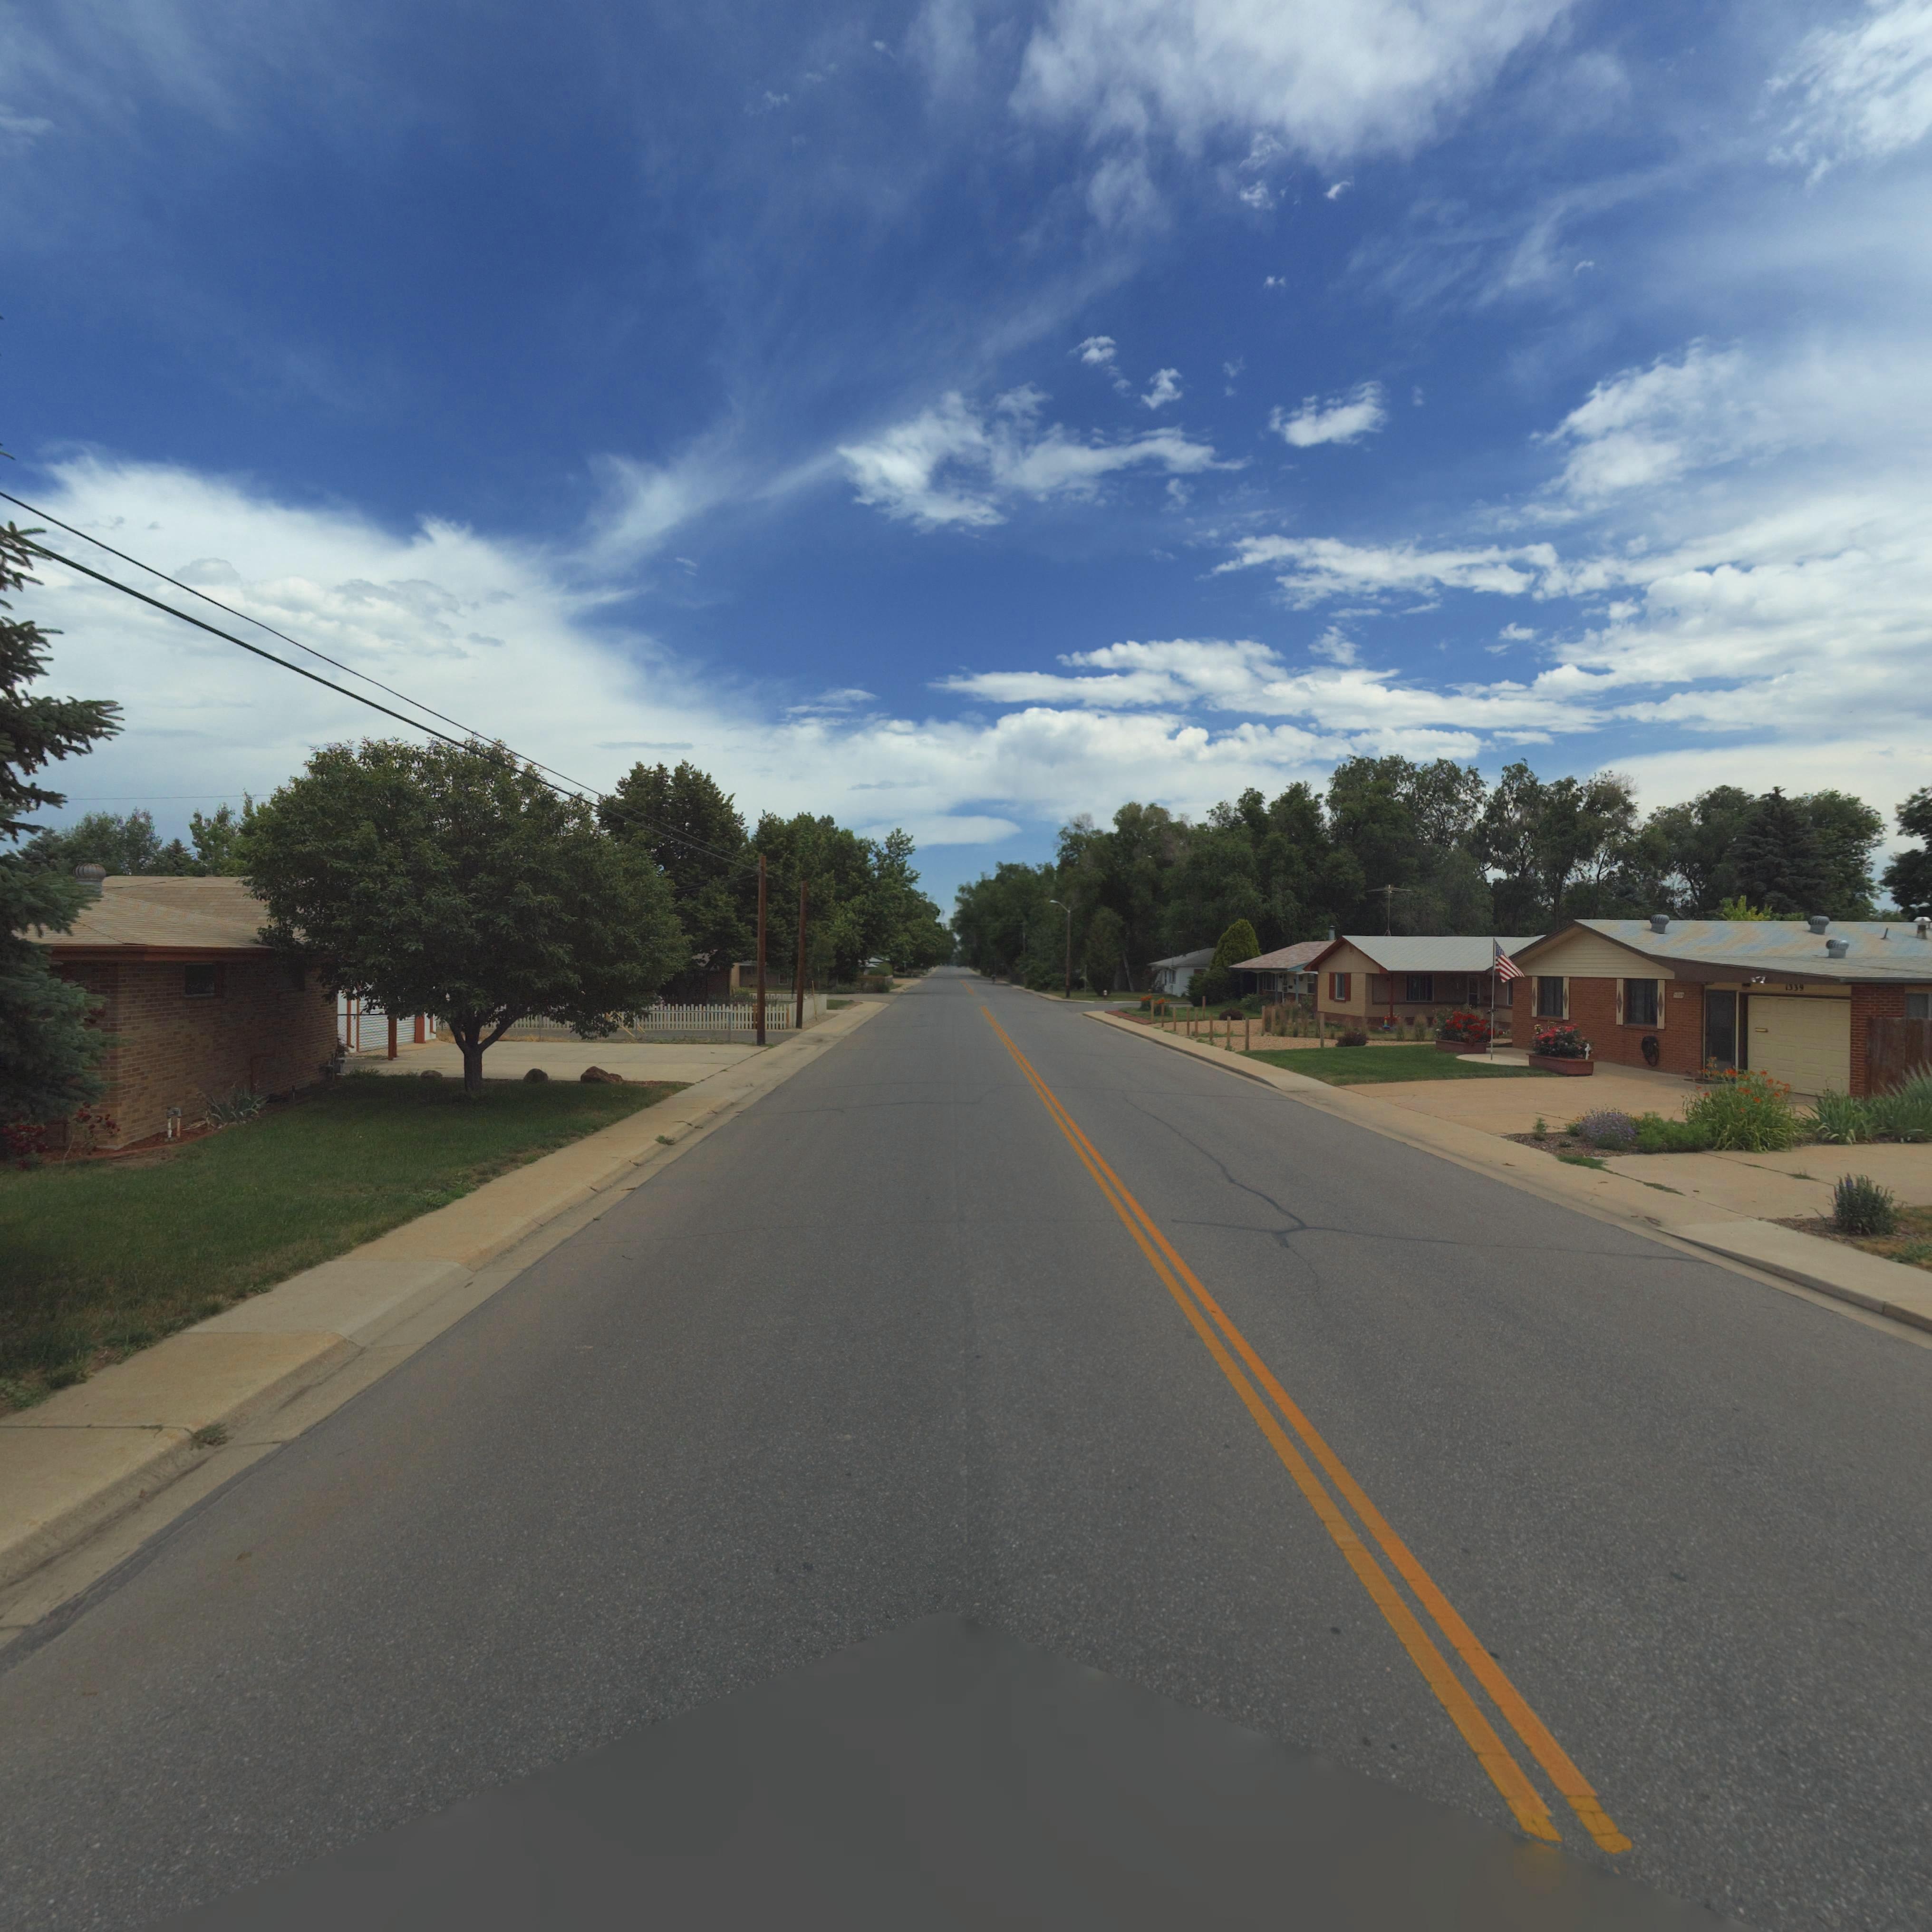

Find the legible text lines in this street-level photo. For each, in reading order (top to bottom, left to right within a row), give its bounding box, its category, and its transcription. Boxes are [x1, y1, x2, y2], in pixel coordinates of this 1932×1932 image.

[1785, 983, 1804, 992] StreetNumber: 1339
[1674, 993, 1683, 997] StreetNumber: 1***